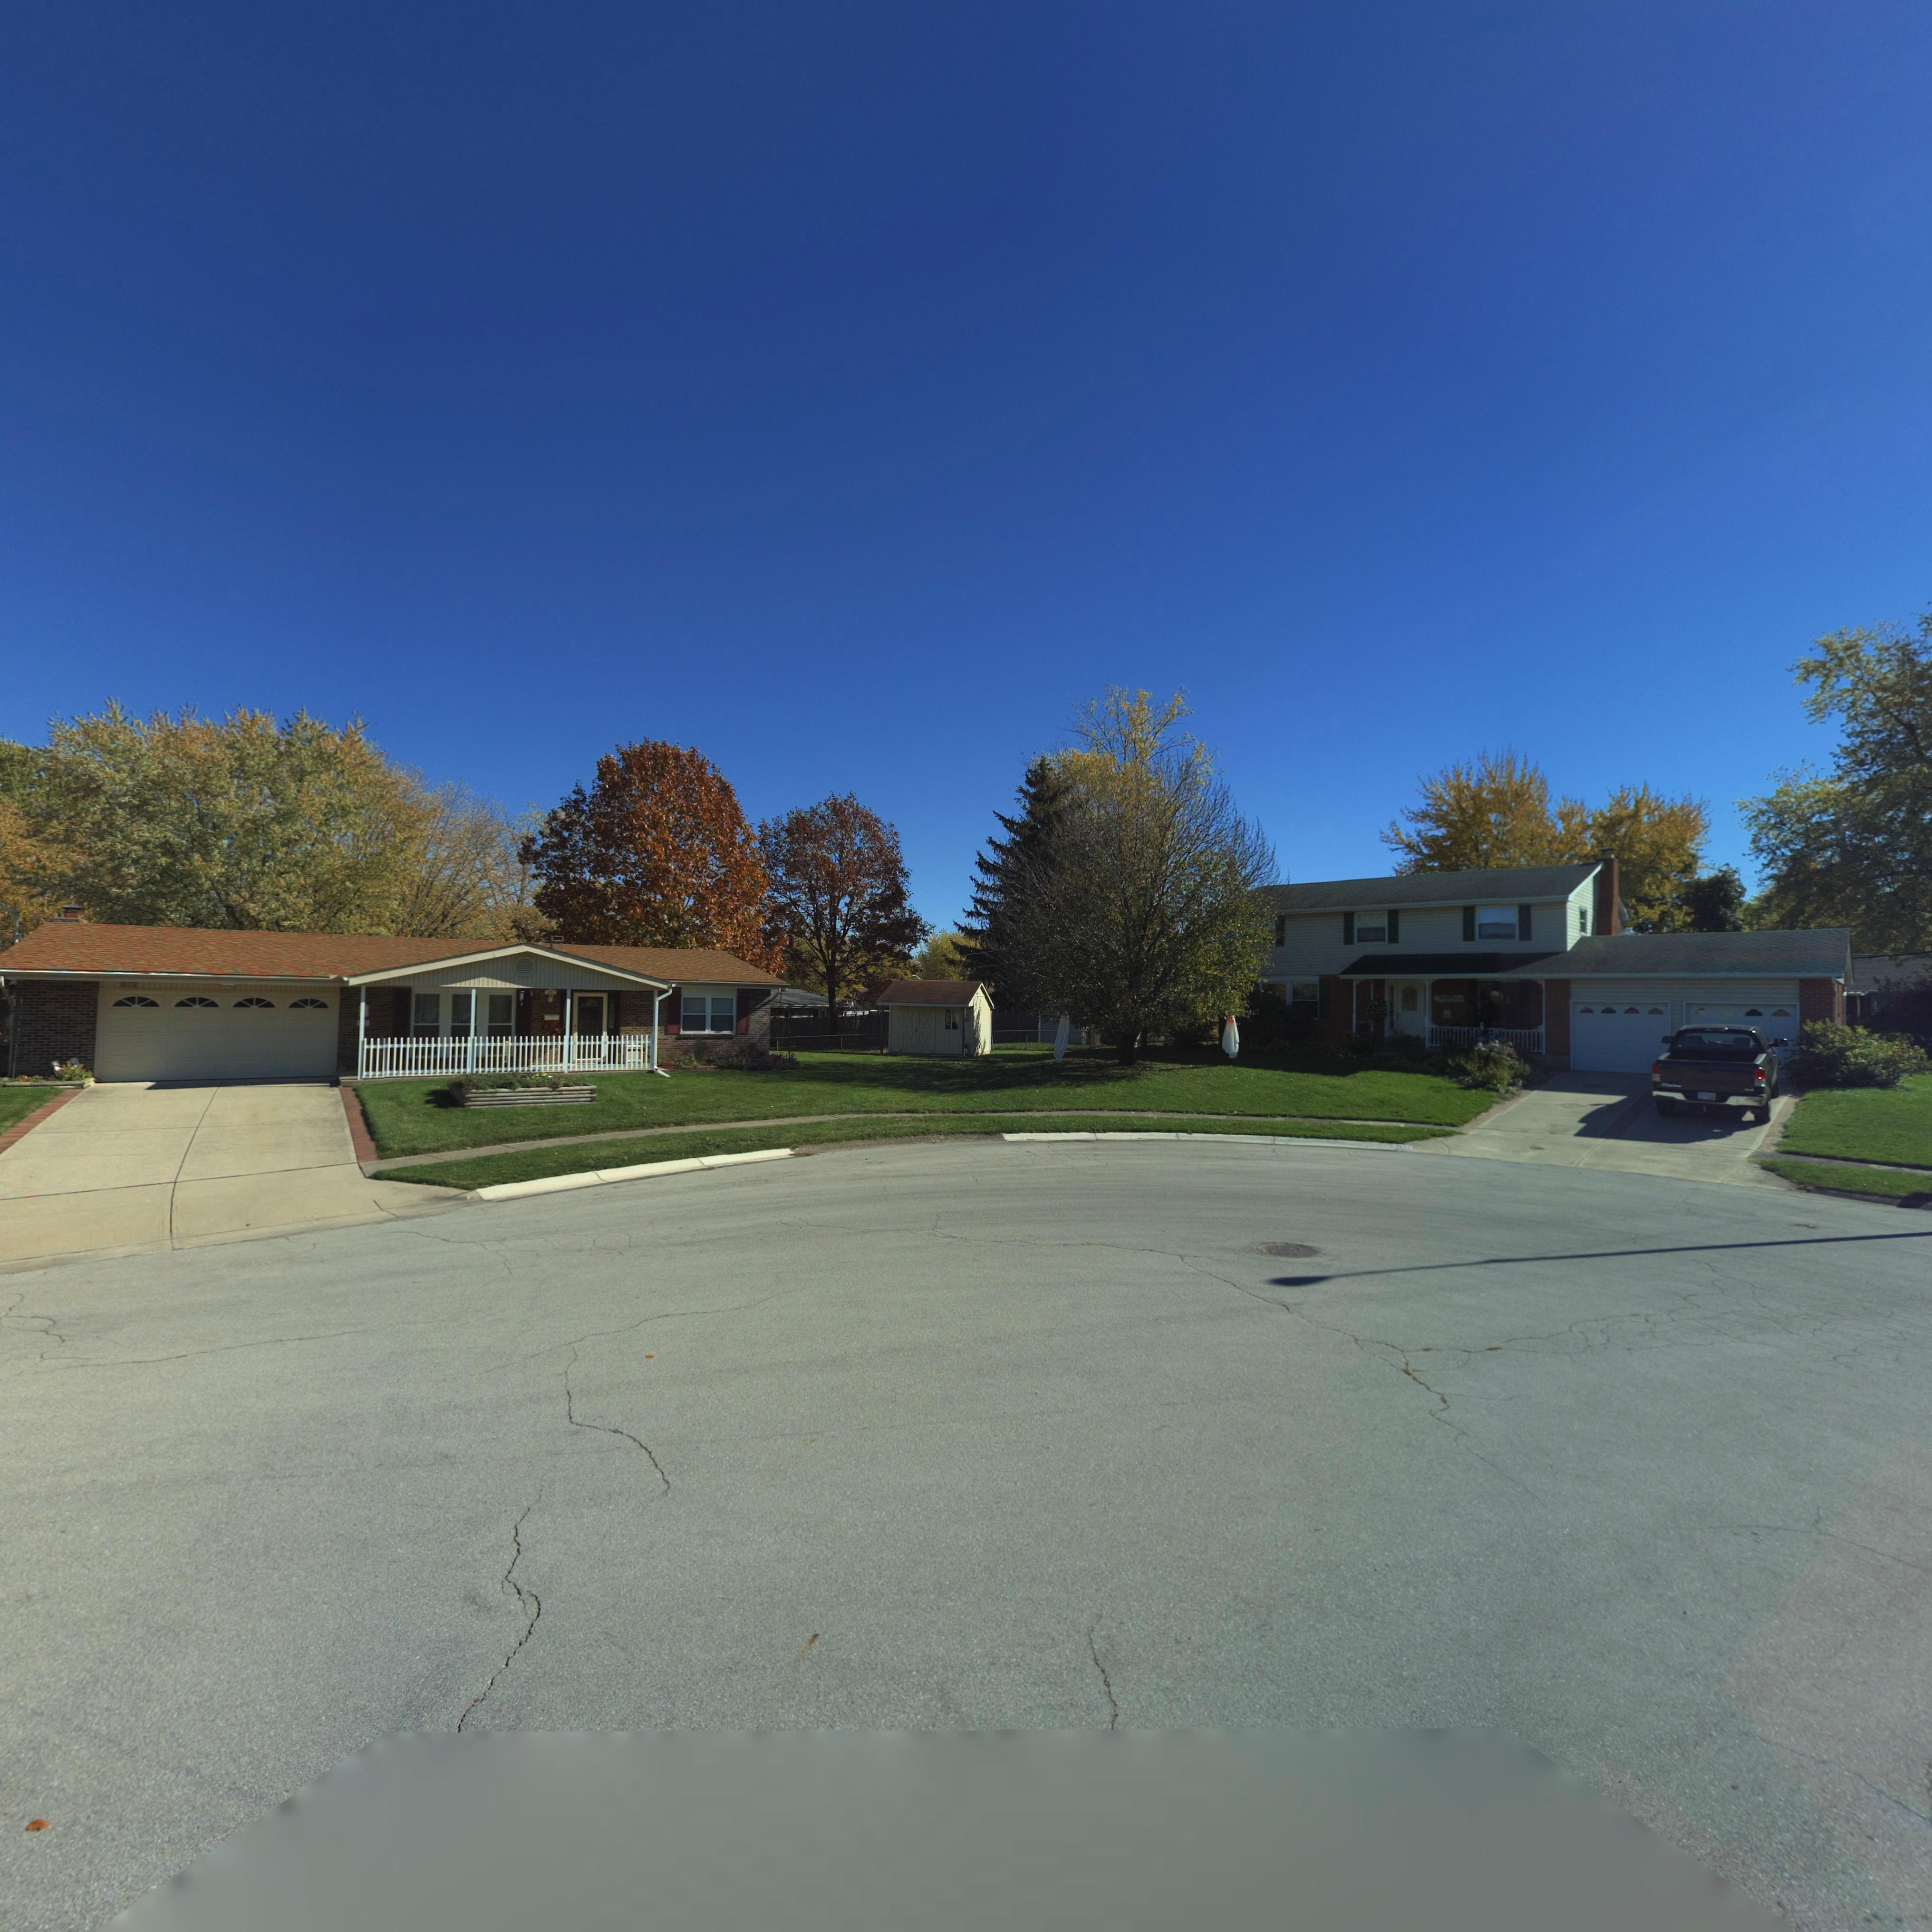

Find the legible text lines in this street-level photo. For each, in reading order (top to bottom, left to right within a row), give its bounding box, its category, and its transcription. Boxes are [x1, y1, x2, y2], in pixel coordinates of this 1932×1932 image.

[120, 981, 138, 988] StreetNumber: 602